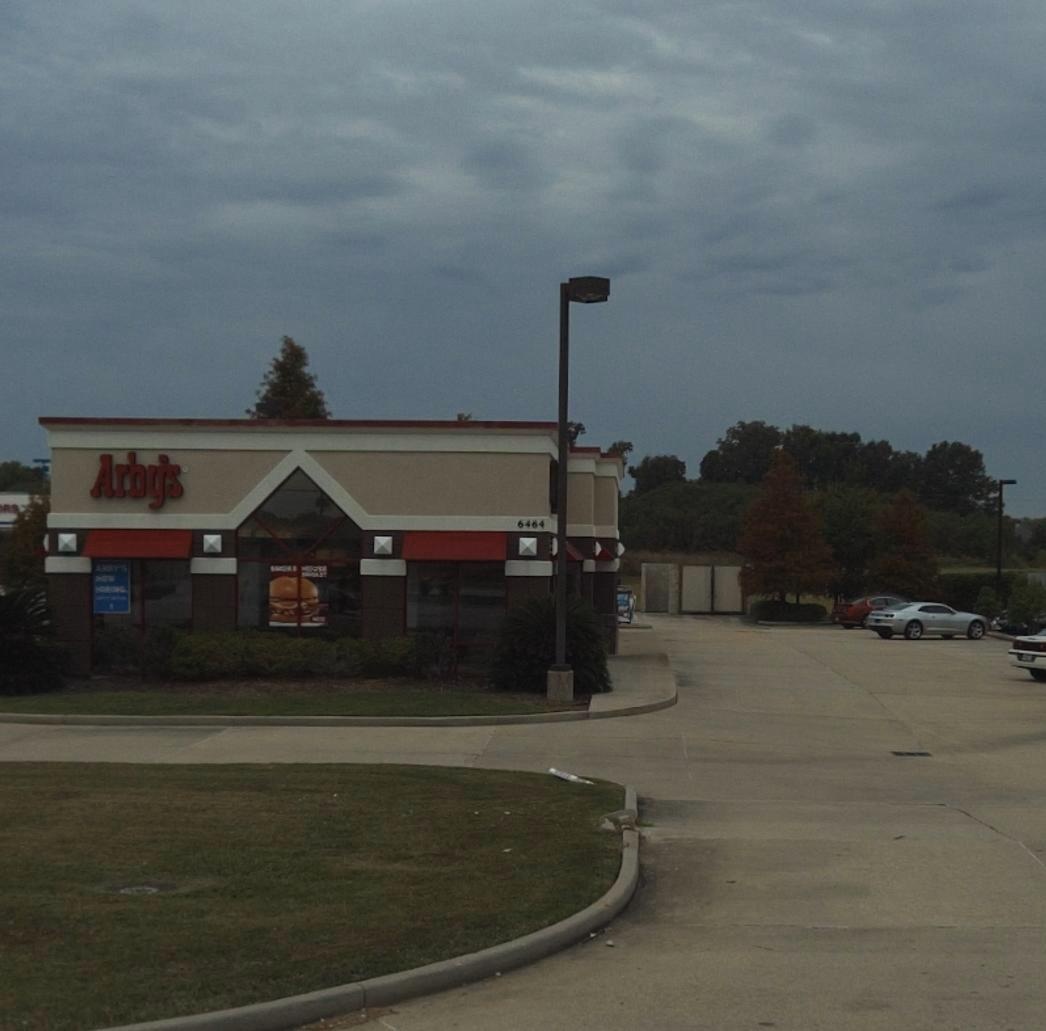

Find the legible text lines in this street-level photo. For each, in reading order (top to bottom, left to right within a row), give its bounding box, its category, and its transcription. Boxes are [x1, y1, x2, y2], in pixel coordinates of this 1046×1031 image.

[89, 450, 185, 511] BusinessName: Arby's
[517, 518, 546, 530] StreetNumber: 6464
[95, 574, 114, 583] None: NOW
[95, 585, 127, 594] None: HIRING